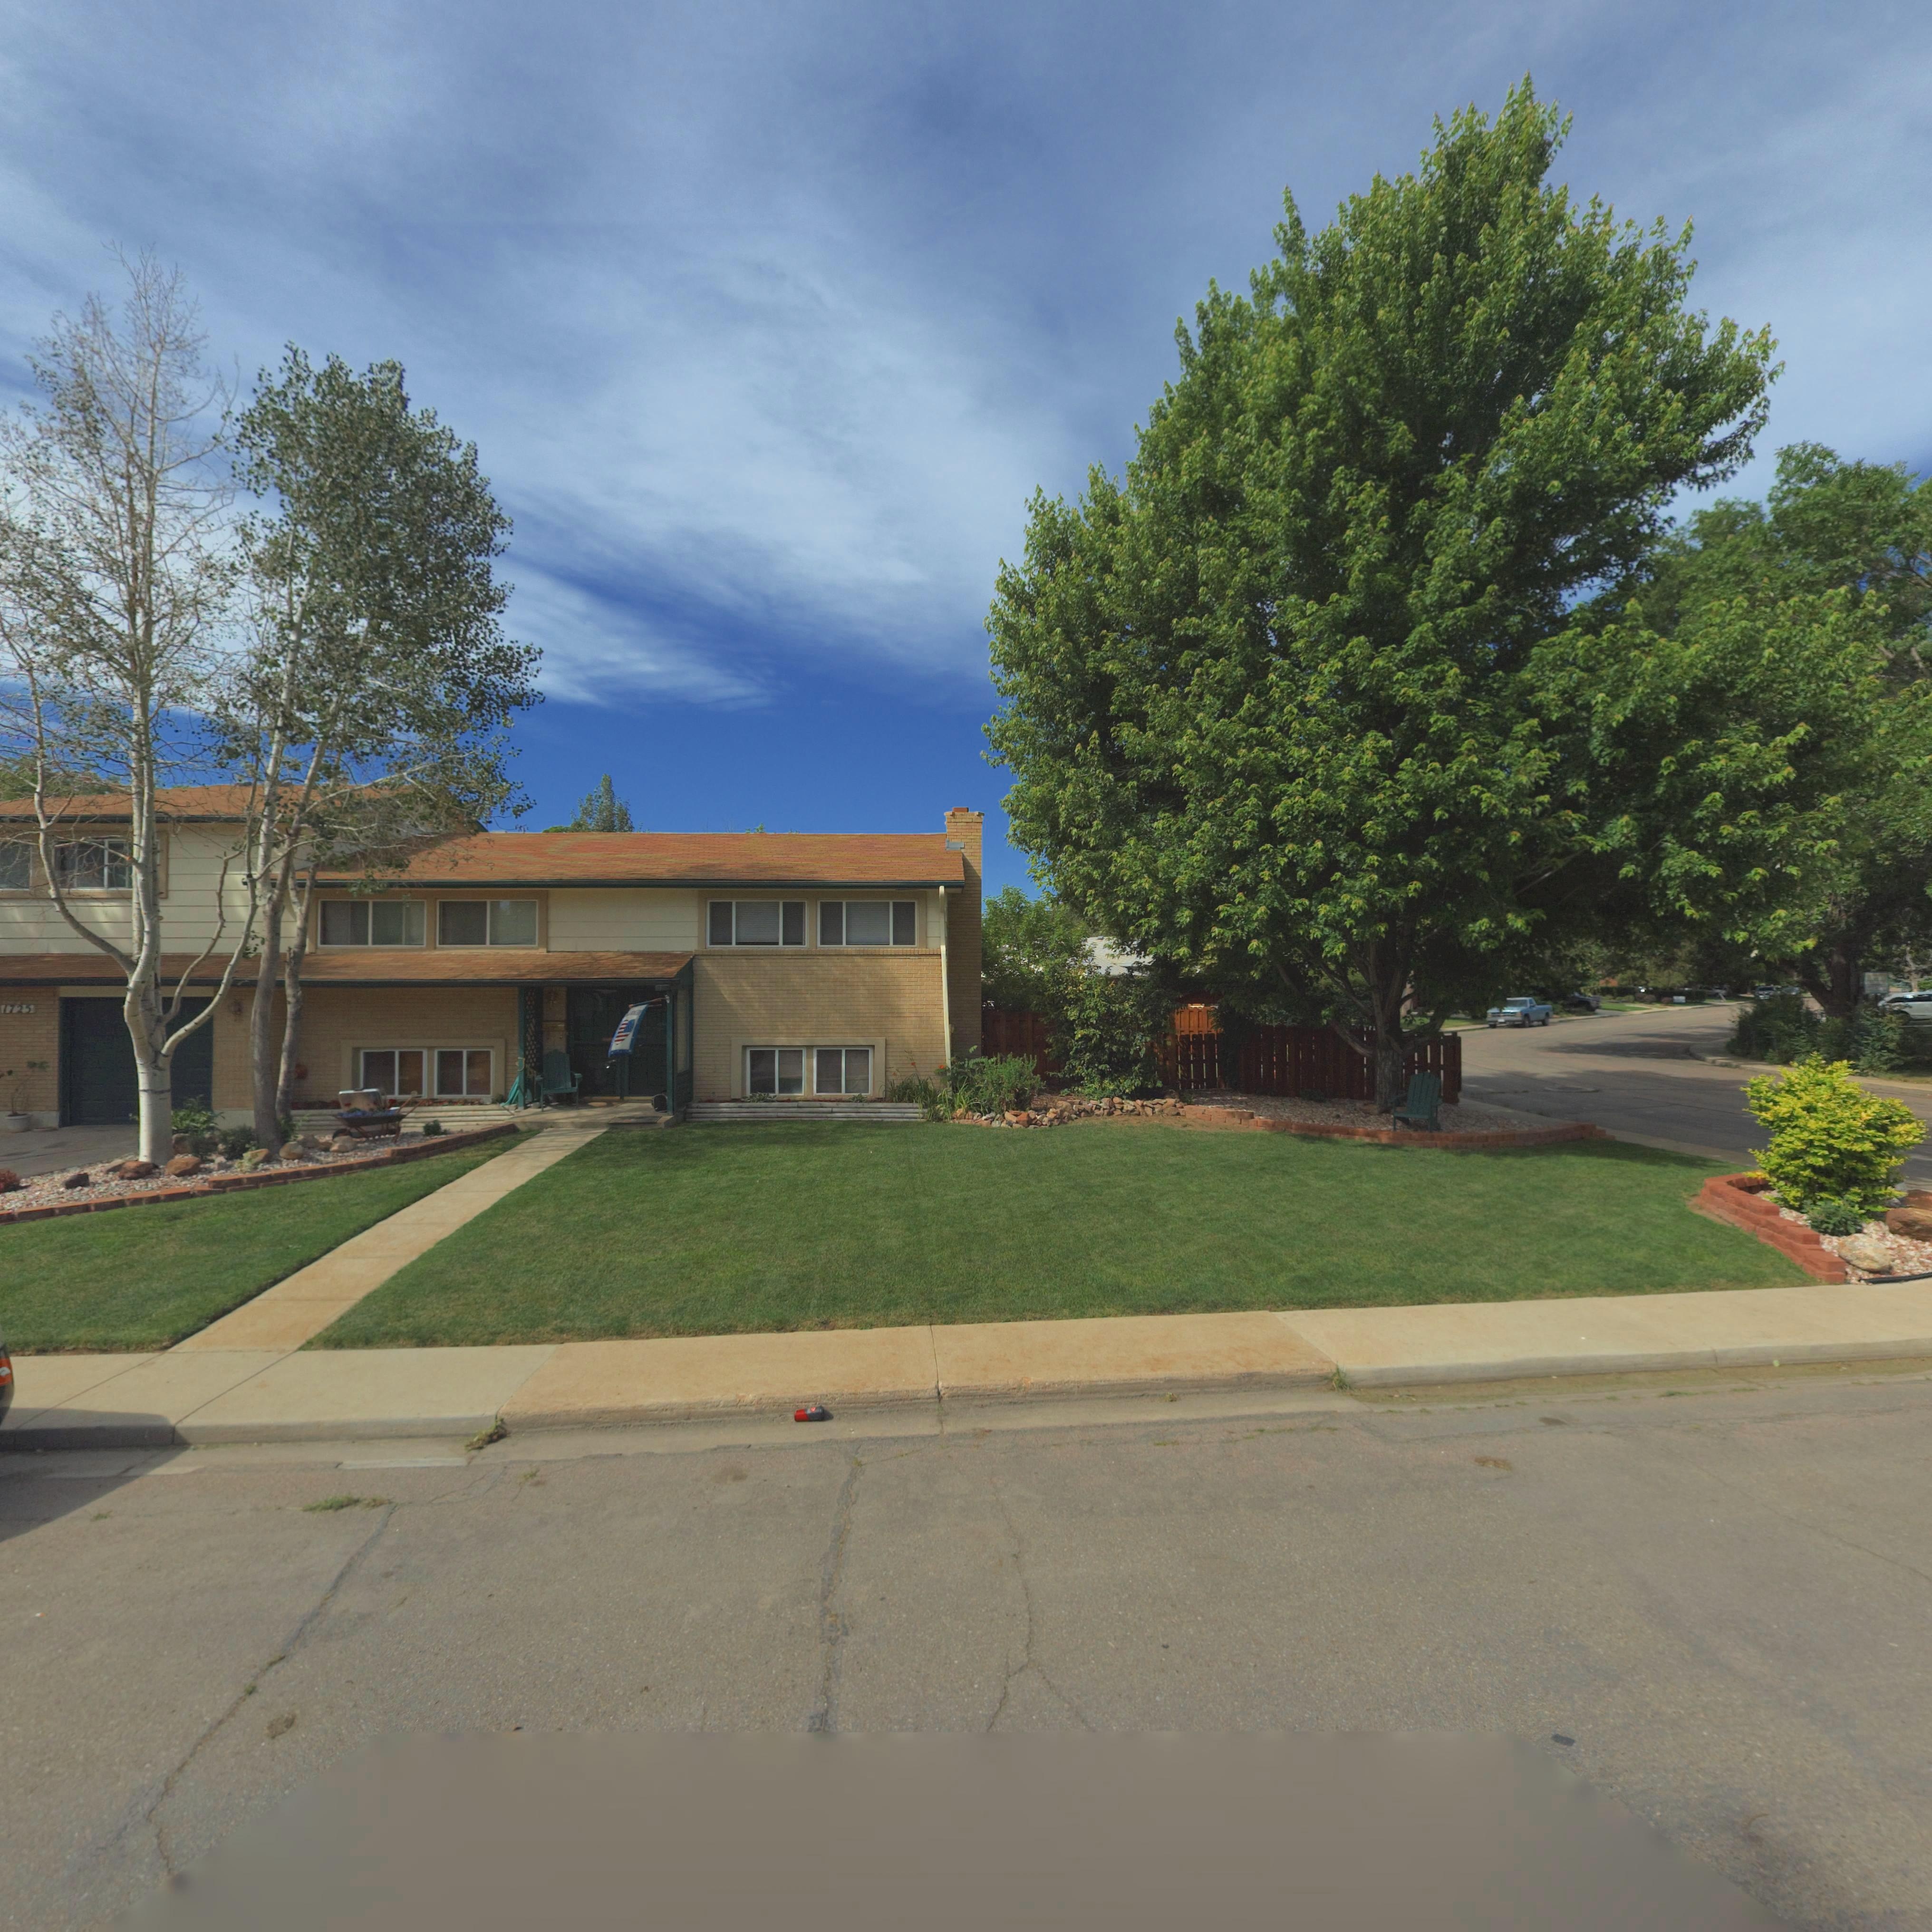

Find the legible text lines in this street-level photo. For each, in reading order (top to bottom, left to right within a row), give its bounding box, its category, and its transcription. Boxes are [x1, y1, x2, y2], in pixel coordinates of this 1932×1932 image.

[2, 1004, 32, 1013] StreetNumber: 1725